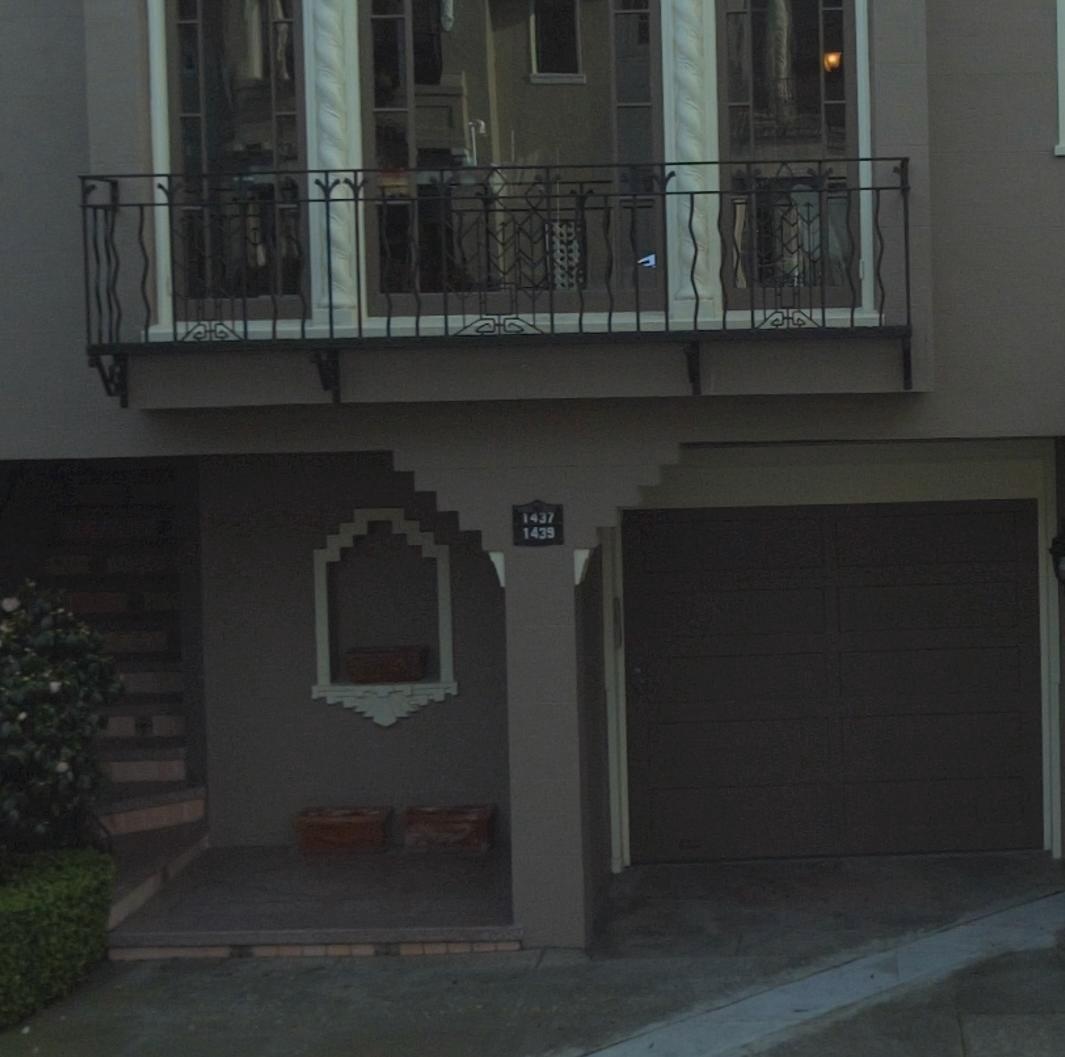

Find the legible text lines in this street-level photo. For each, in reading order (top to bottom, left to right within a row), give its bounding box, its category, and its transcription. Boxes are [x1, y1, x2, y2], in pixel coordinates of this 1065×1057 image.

[520, 510, 557, 526] StreetNumber: 1437
[521, 524, 558, 542] StreetNumber: 1439